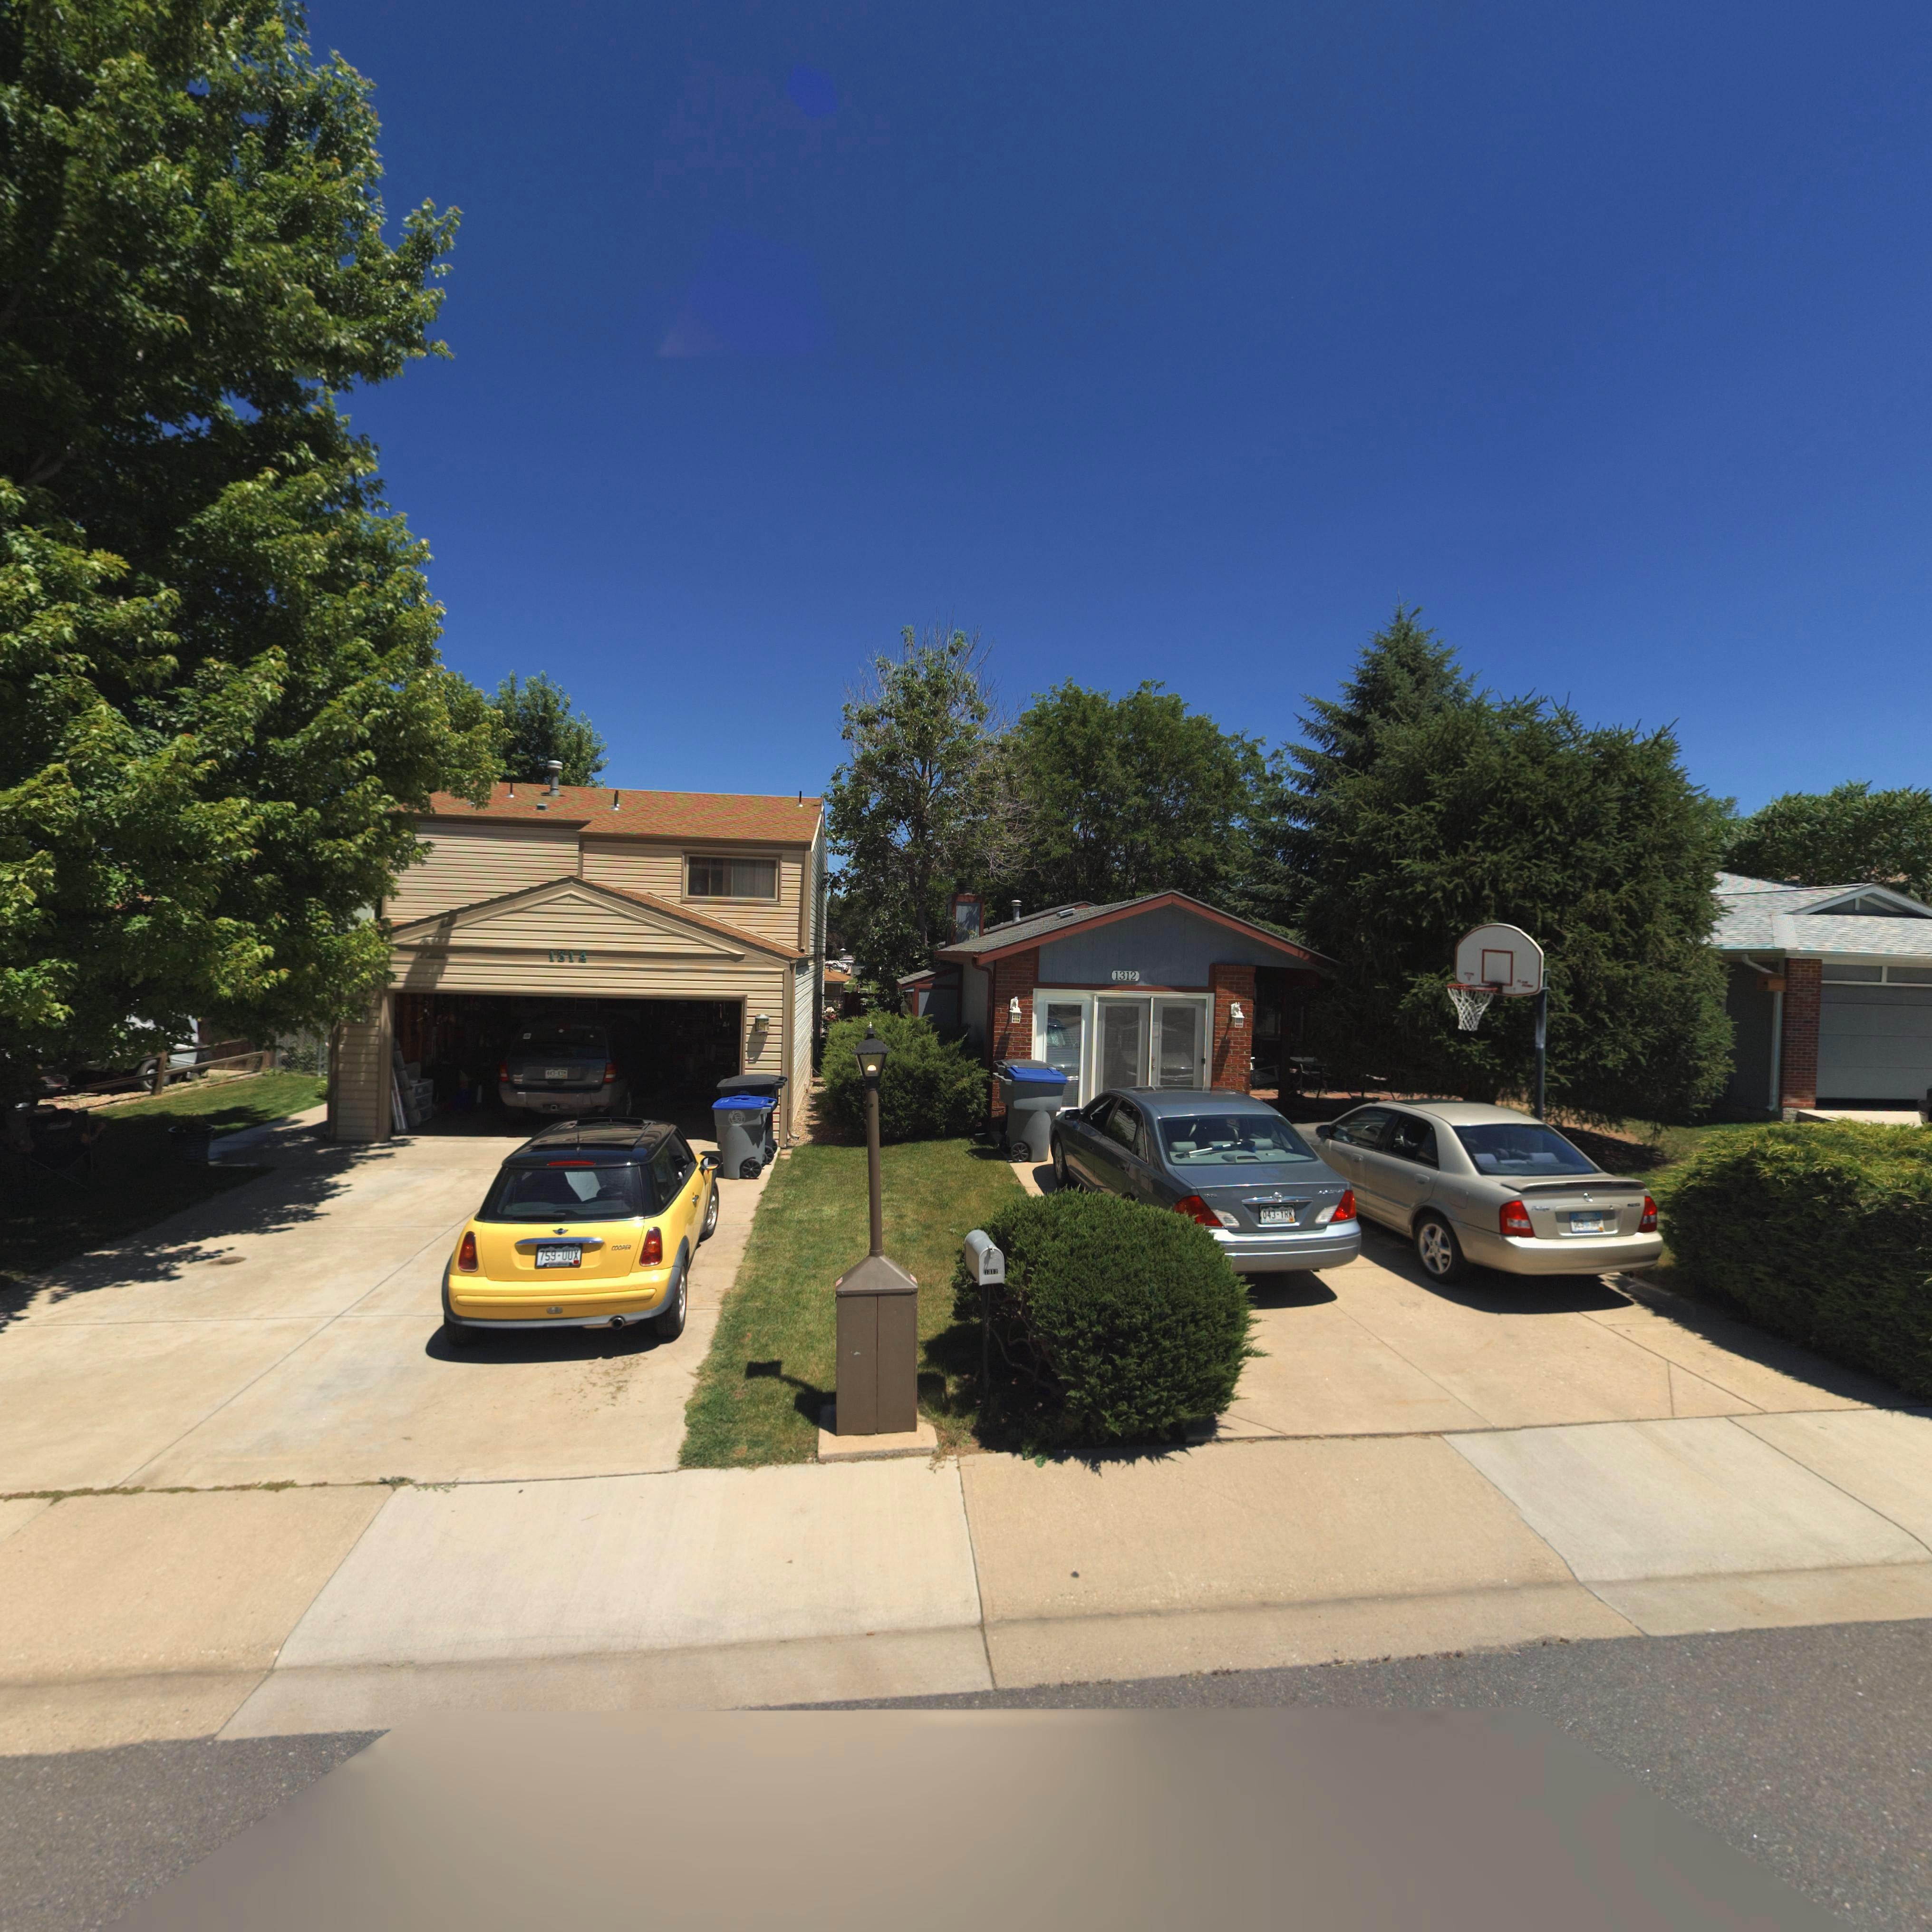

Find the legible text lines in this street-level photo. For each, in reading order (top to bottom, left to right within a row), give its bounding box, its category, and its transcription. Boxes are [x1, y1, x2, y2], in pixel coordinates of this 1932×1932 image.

[550, 950, 586, 962] StreetNumber: 1314
[1115, 971, 1136, 980] StreetNumber: 1312
[985, 1268, 998, 1275] StreetNumber: 1312